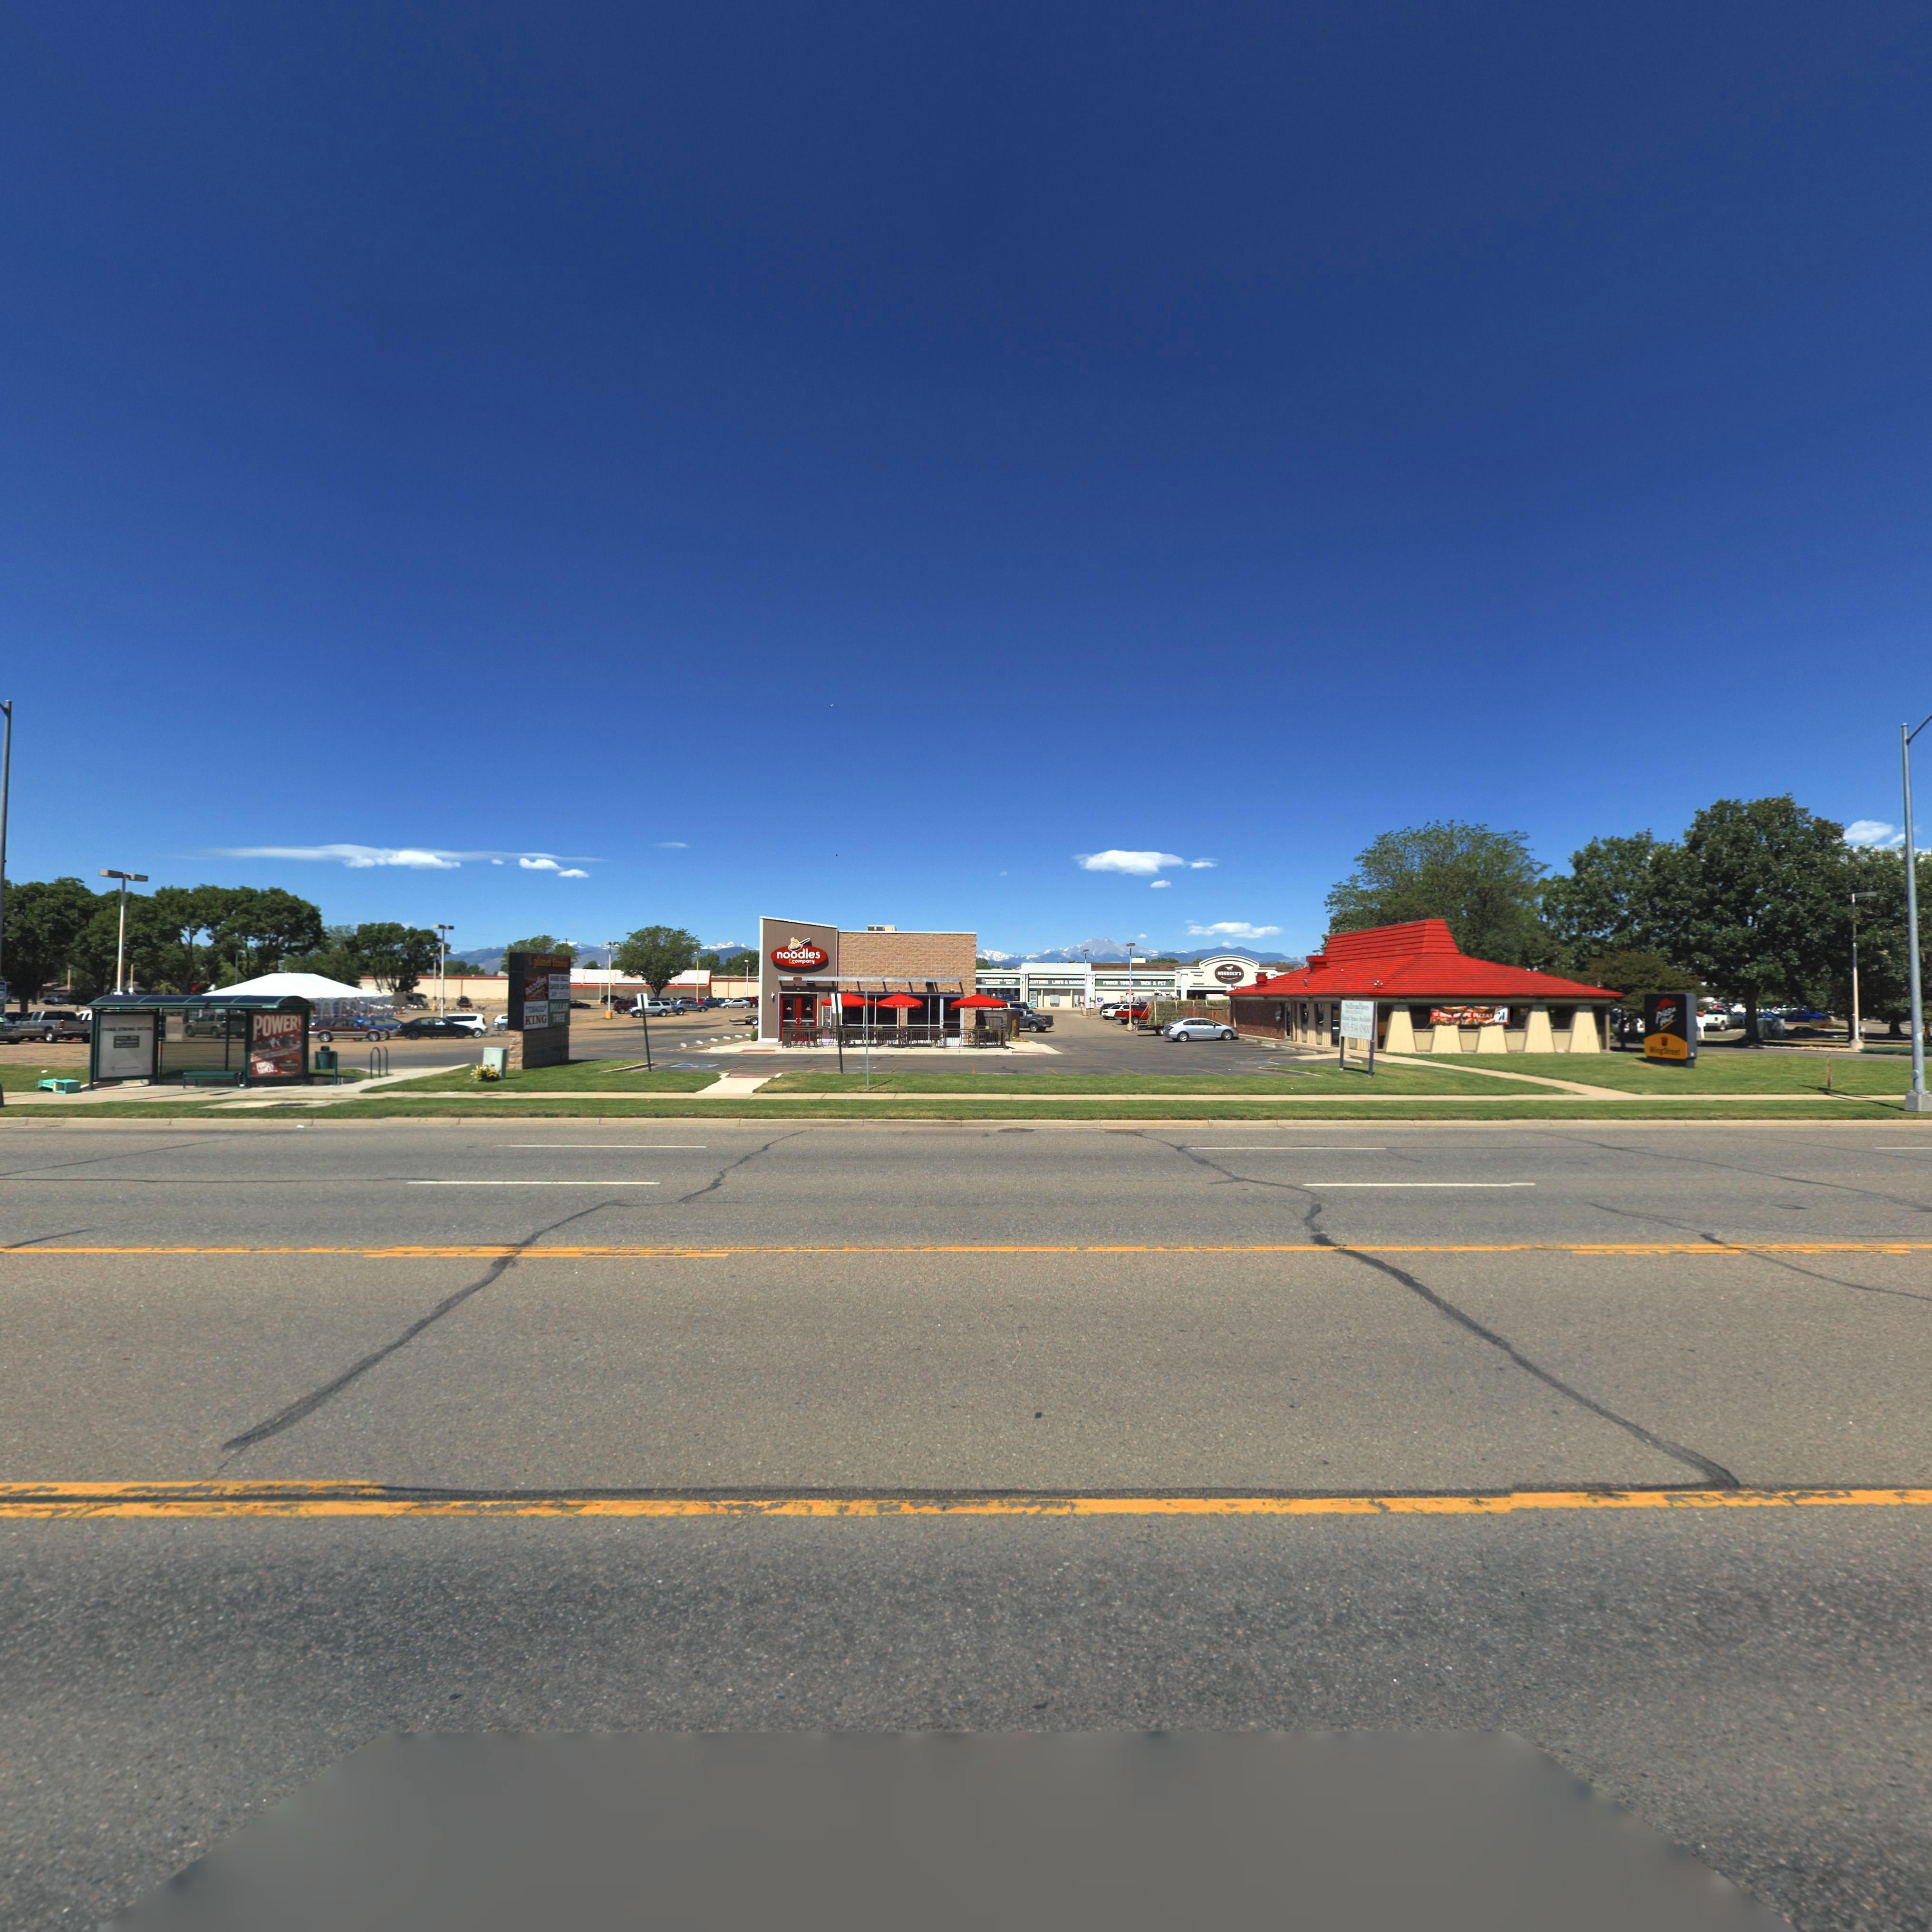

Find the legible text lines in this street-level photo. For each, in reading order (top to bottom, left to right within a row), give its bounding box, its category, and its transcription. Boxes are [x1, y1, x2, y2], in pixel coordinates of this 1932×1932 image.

[776, 947, 821, 959] BusinessName: noodles
[533, 955, 569, 968] BusinessName: planet fitness
[788, 957, 815, 965] BusinessName: &company
[1217, 971, 1242, 976] BusinessName: *UR**CH'S
[524, 974, 547, 996] BusinessName: noodles
[526, 1005, 545, 1013] BusinessName: TOBACOO
[549, 1002, 569, 1013] BusinessName: DOLL*R
[524, 1014, 547, 1025] BusinessName: KING
[552, 1013, 565, 1023] BusinessName: TREE
[1654, 1006, 1677, 1024] BusinessName: Pizza
[1659, 1014, 1675, 1027] BusinessName: Hut